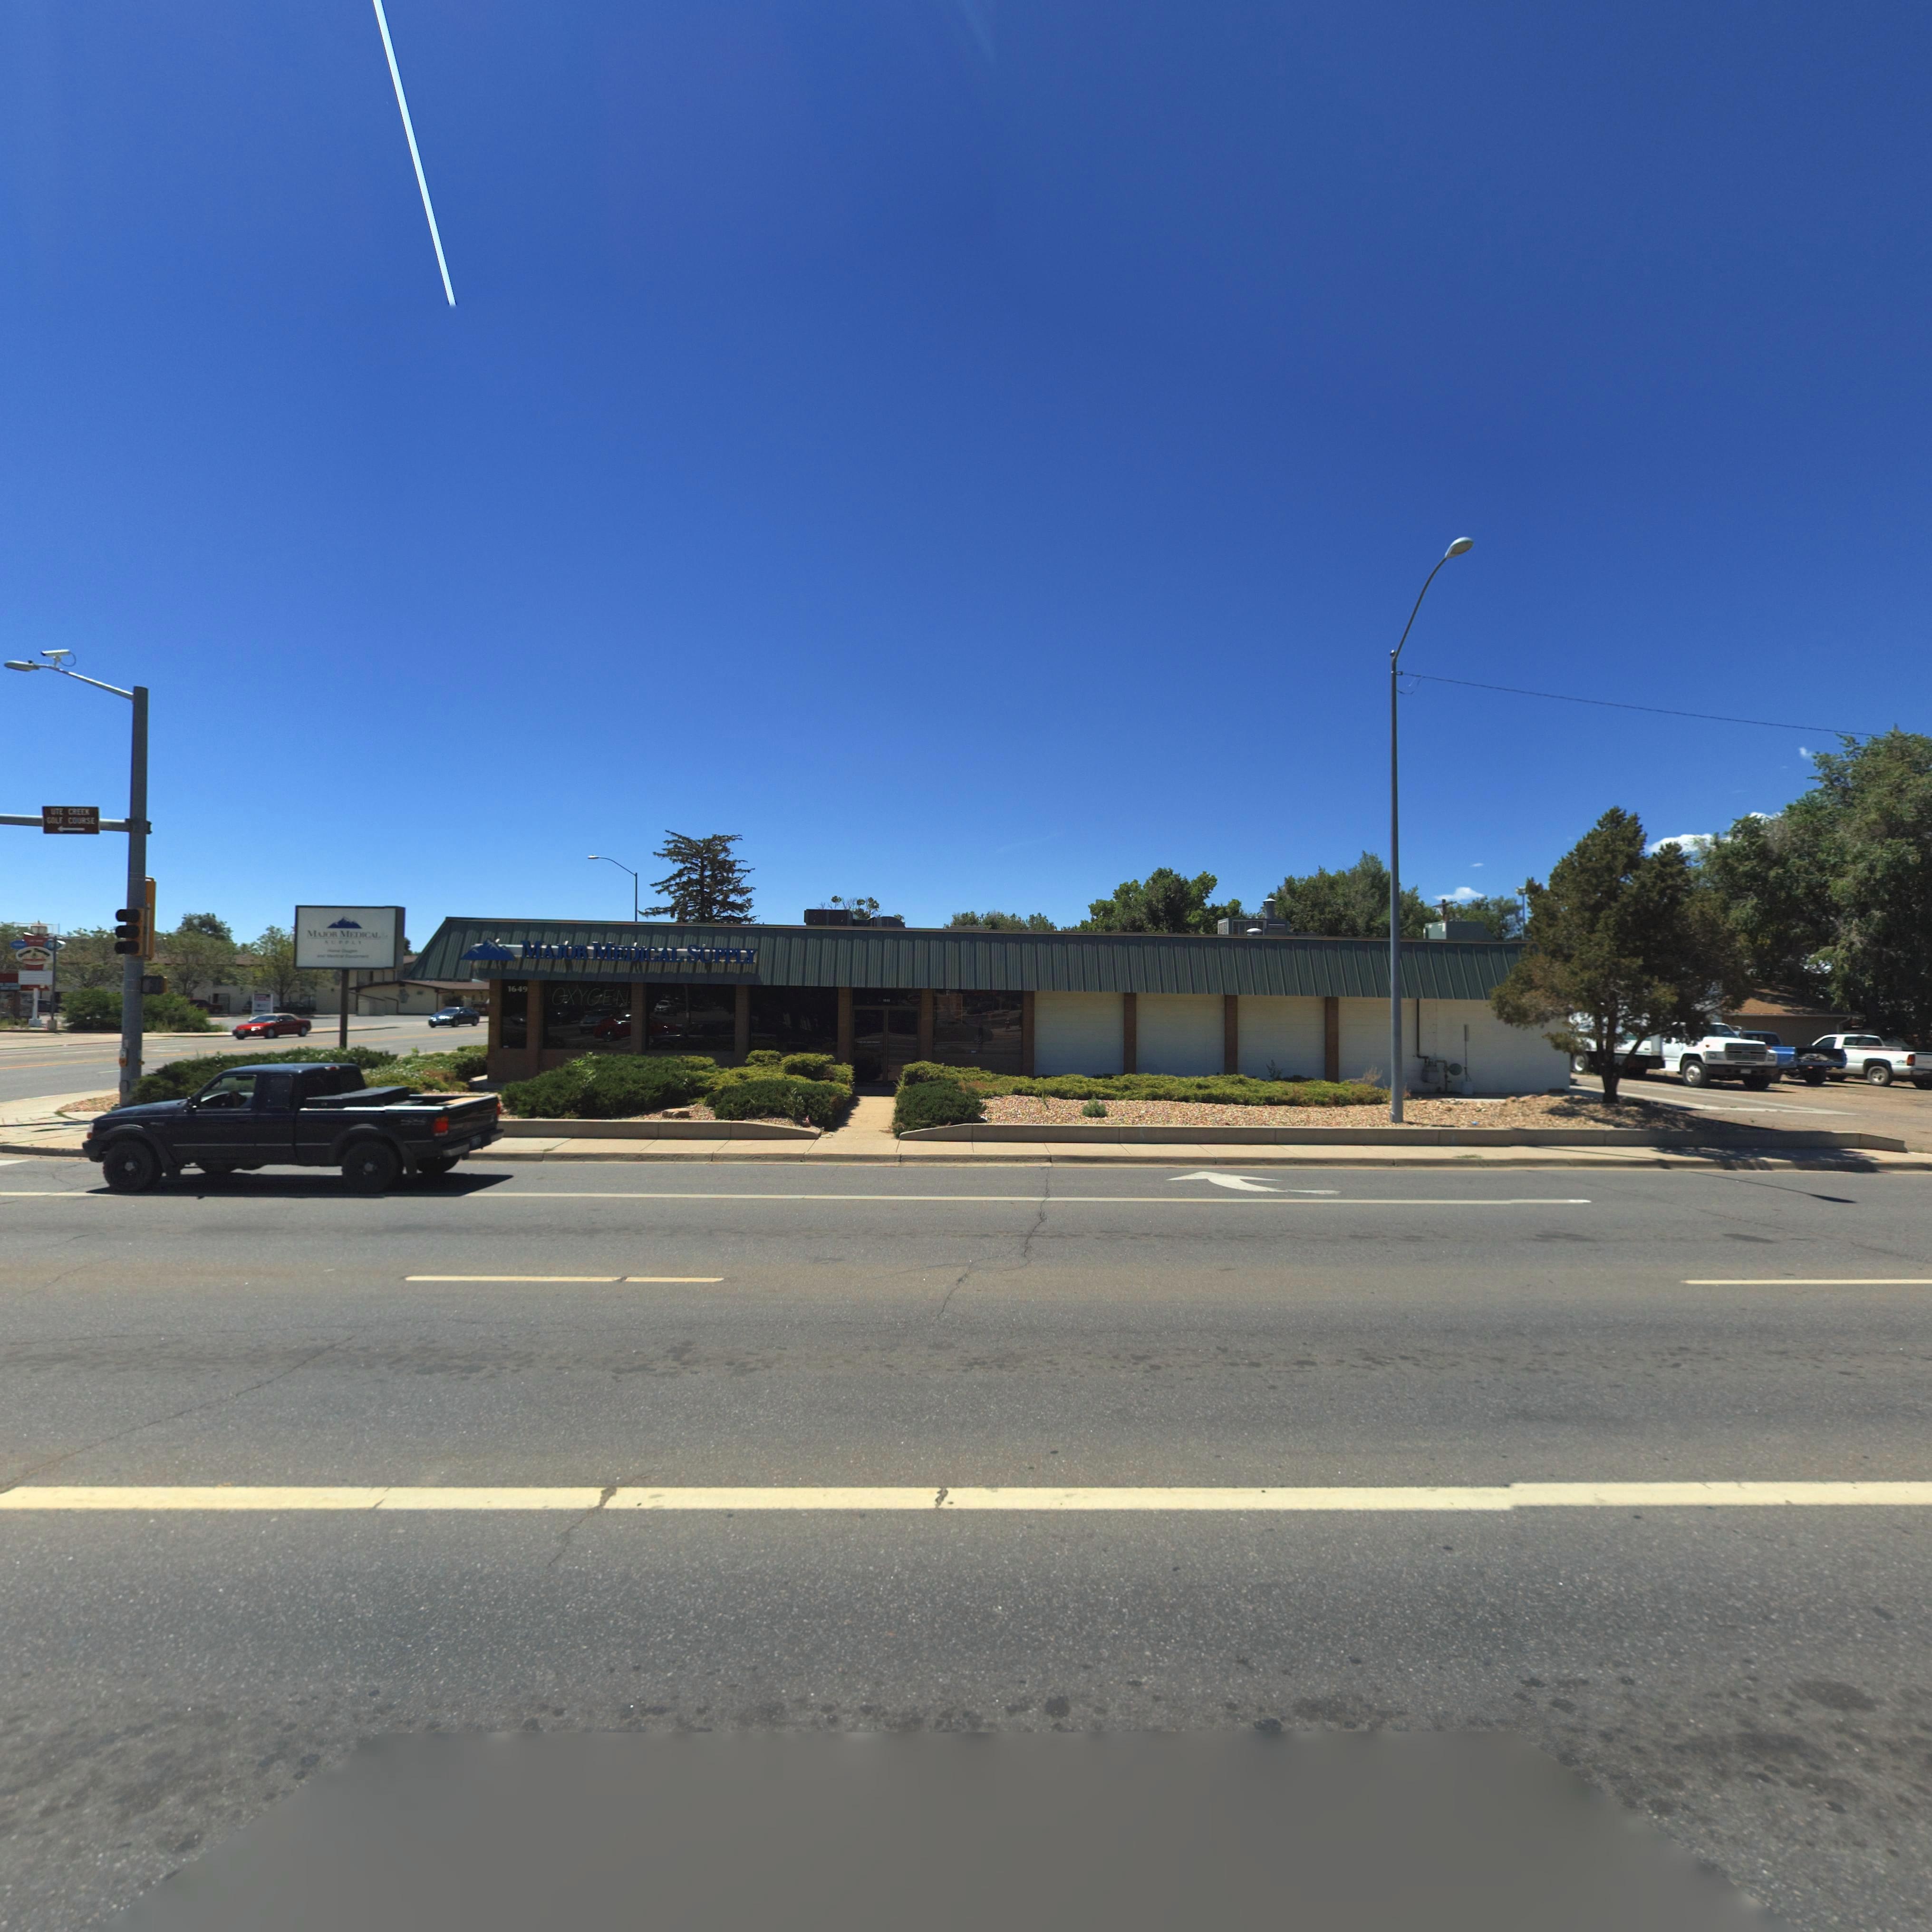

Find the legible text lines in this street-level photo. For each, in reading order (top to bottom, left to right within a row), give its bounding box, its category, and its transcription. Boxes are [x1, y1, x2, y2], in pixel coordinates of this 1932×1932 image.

[307, 929, 382, 939] BusinessName: MAJOR MEDICAL
[324, 939, 362, 945] BusinessName: SUPPLY
[519, 939, 760, 966] BusinessName: MAJOR MEDICAL SUPPLY
[507, 985, 529, 993] StreetNumber: 1649